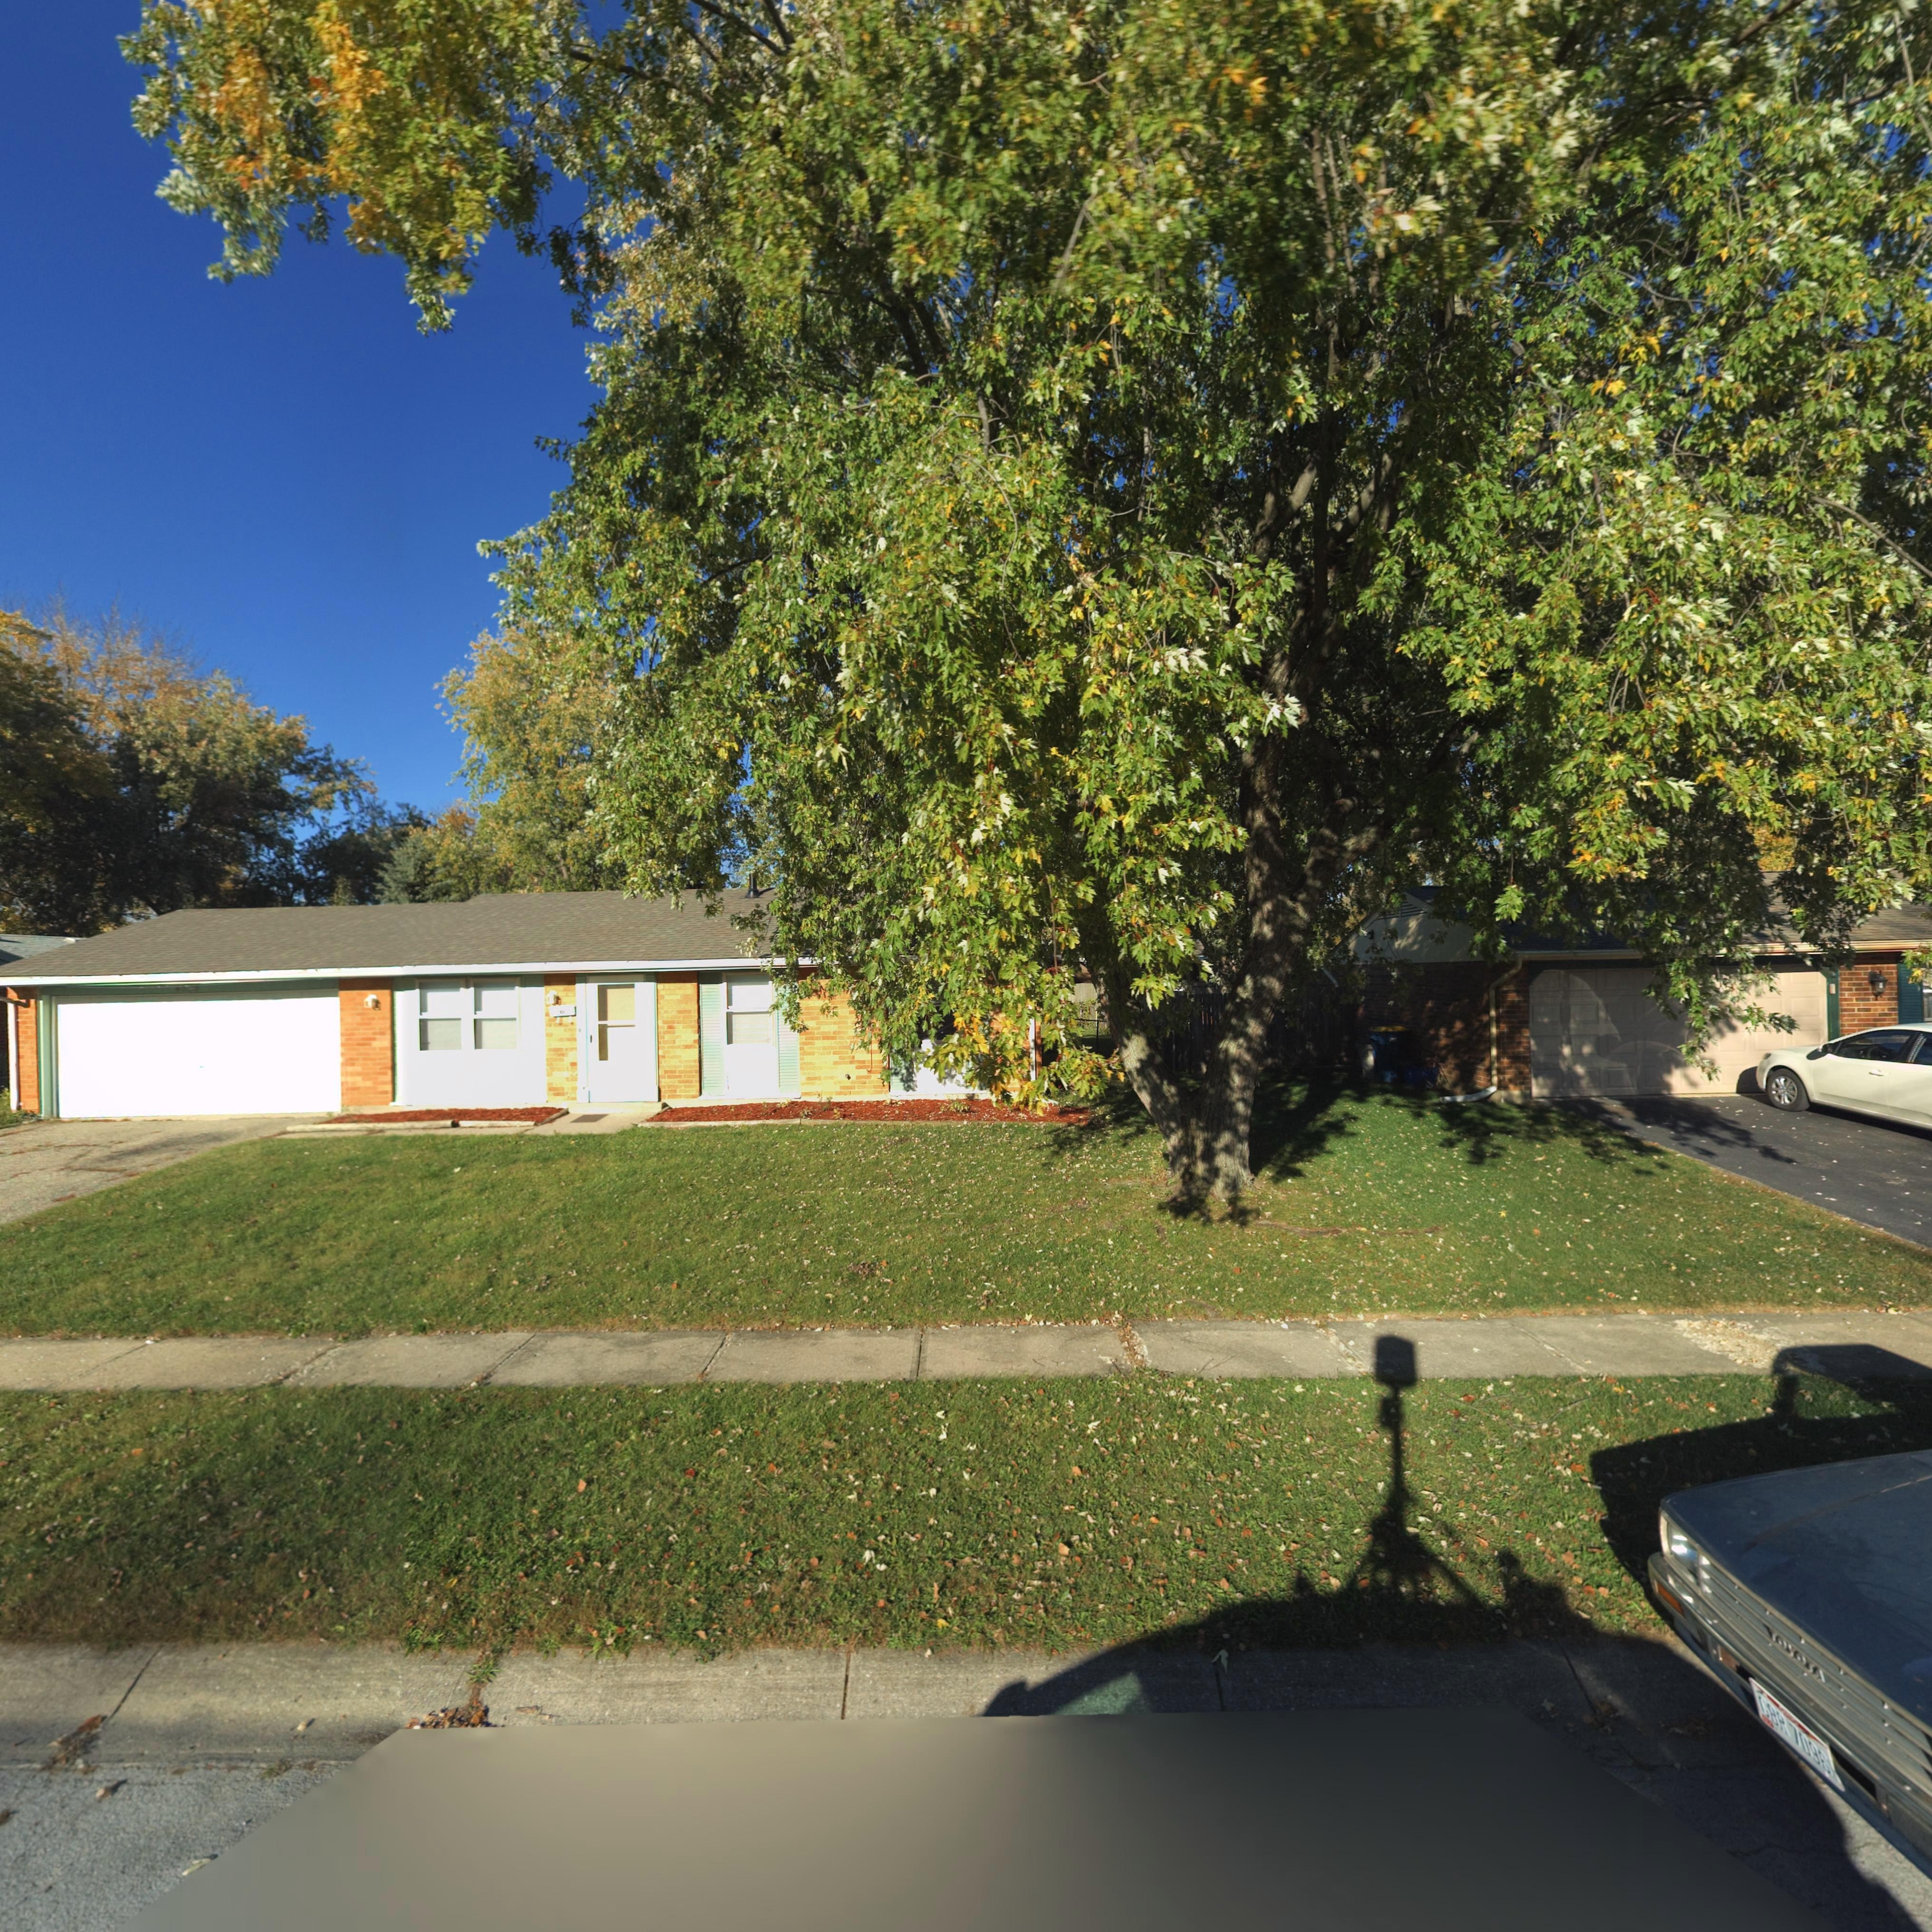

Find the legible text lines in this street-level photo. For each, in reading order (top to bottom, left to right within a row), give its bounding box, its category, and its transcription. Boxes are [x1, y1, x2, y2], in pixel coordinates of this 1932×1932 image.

[174, 985, 200, 992] StreetNumber: 45**